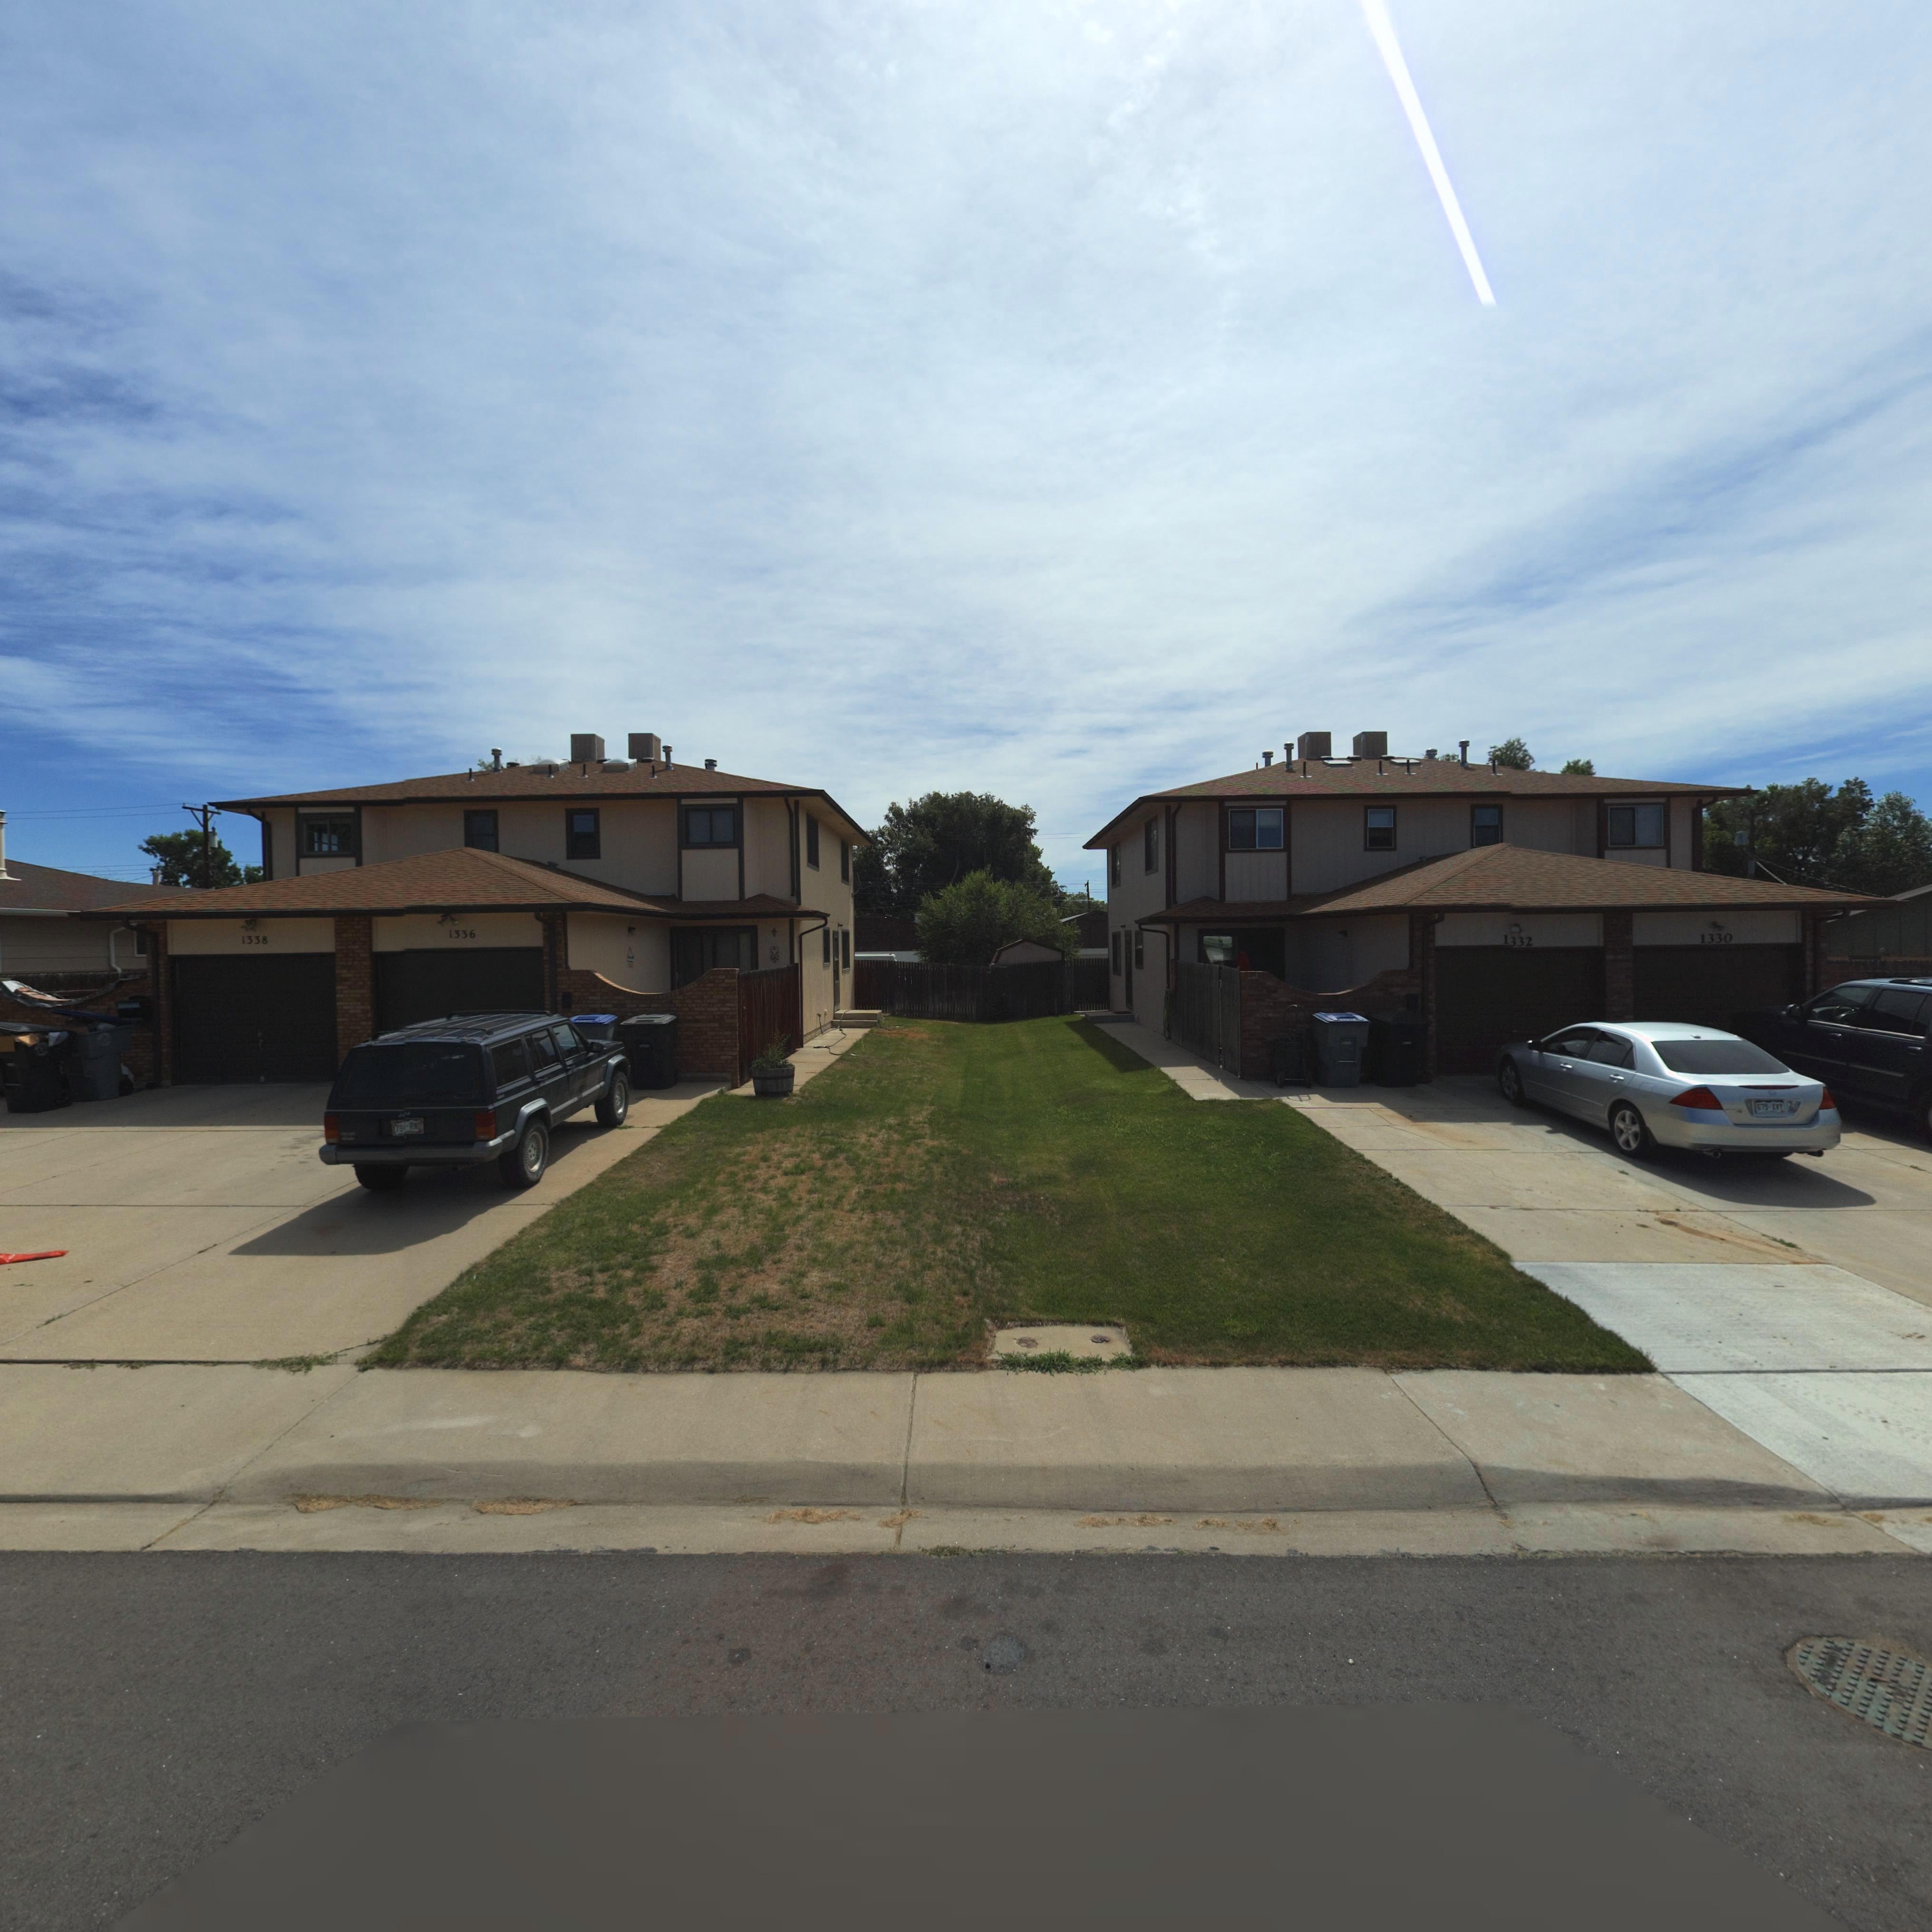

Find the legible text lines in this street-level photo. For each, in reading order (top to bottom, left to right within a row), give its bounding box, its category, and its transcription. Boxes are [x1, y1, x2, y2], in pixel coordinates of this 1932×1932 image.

[241, 935, 268, 945] StreetNumber: 1338
[449, 929, 475, 938] StreetNumber: 1336
[1503, 934, 1533, 947] StreetNumber: 1332
[1700, 933, 1733, 944] StreetNumber: 1330